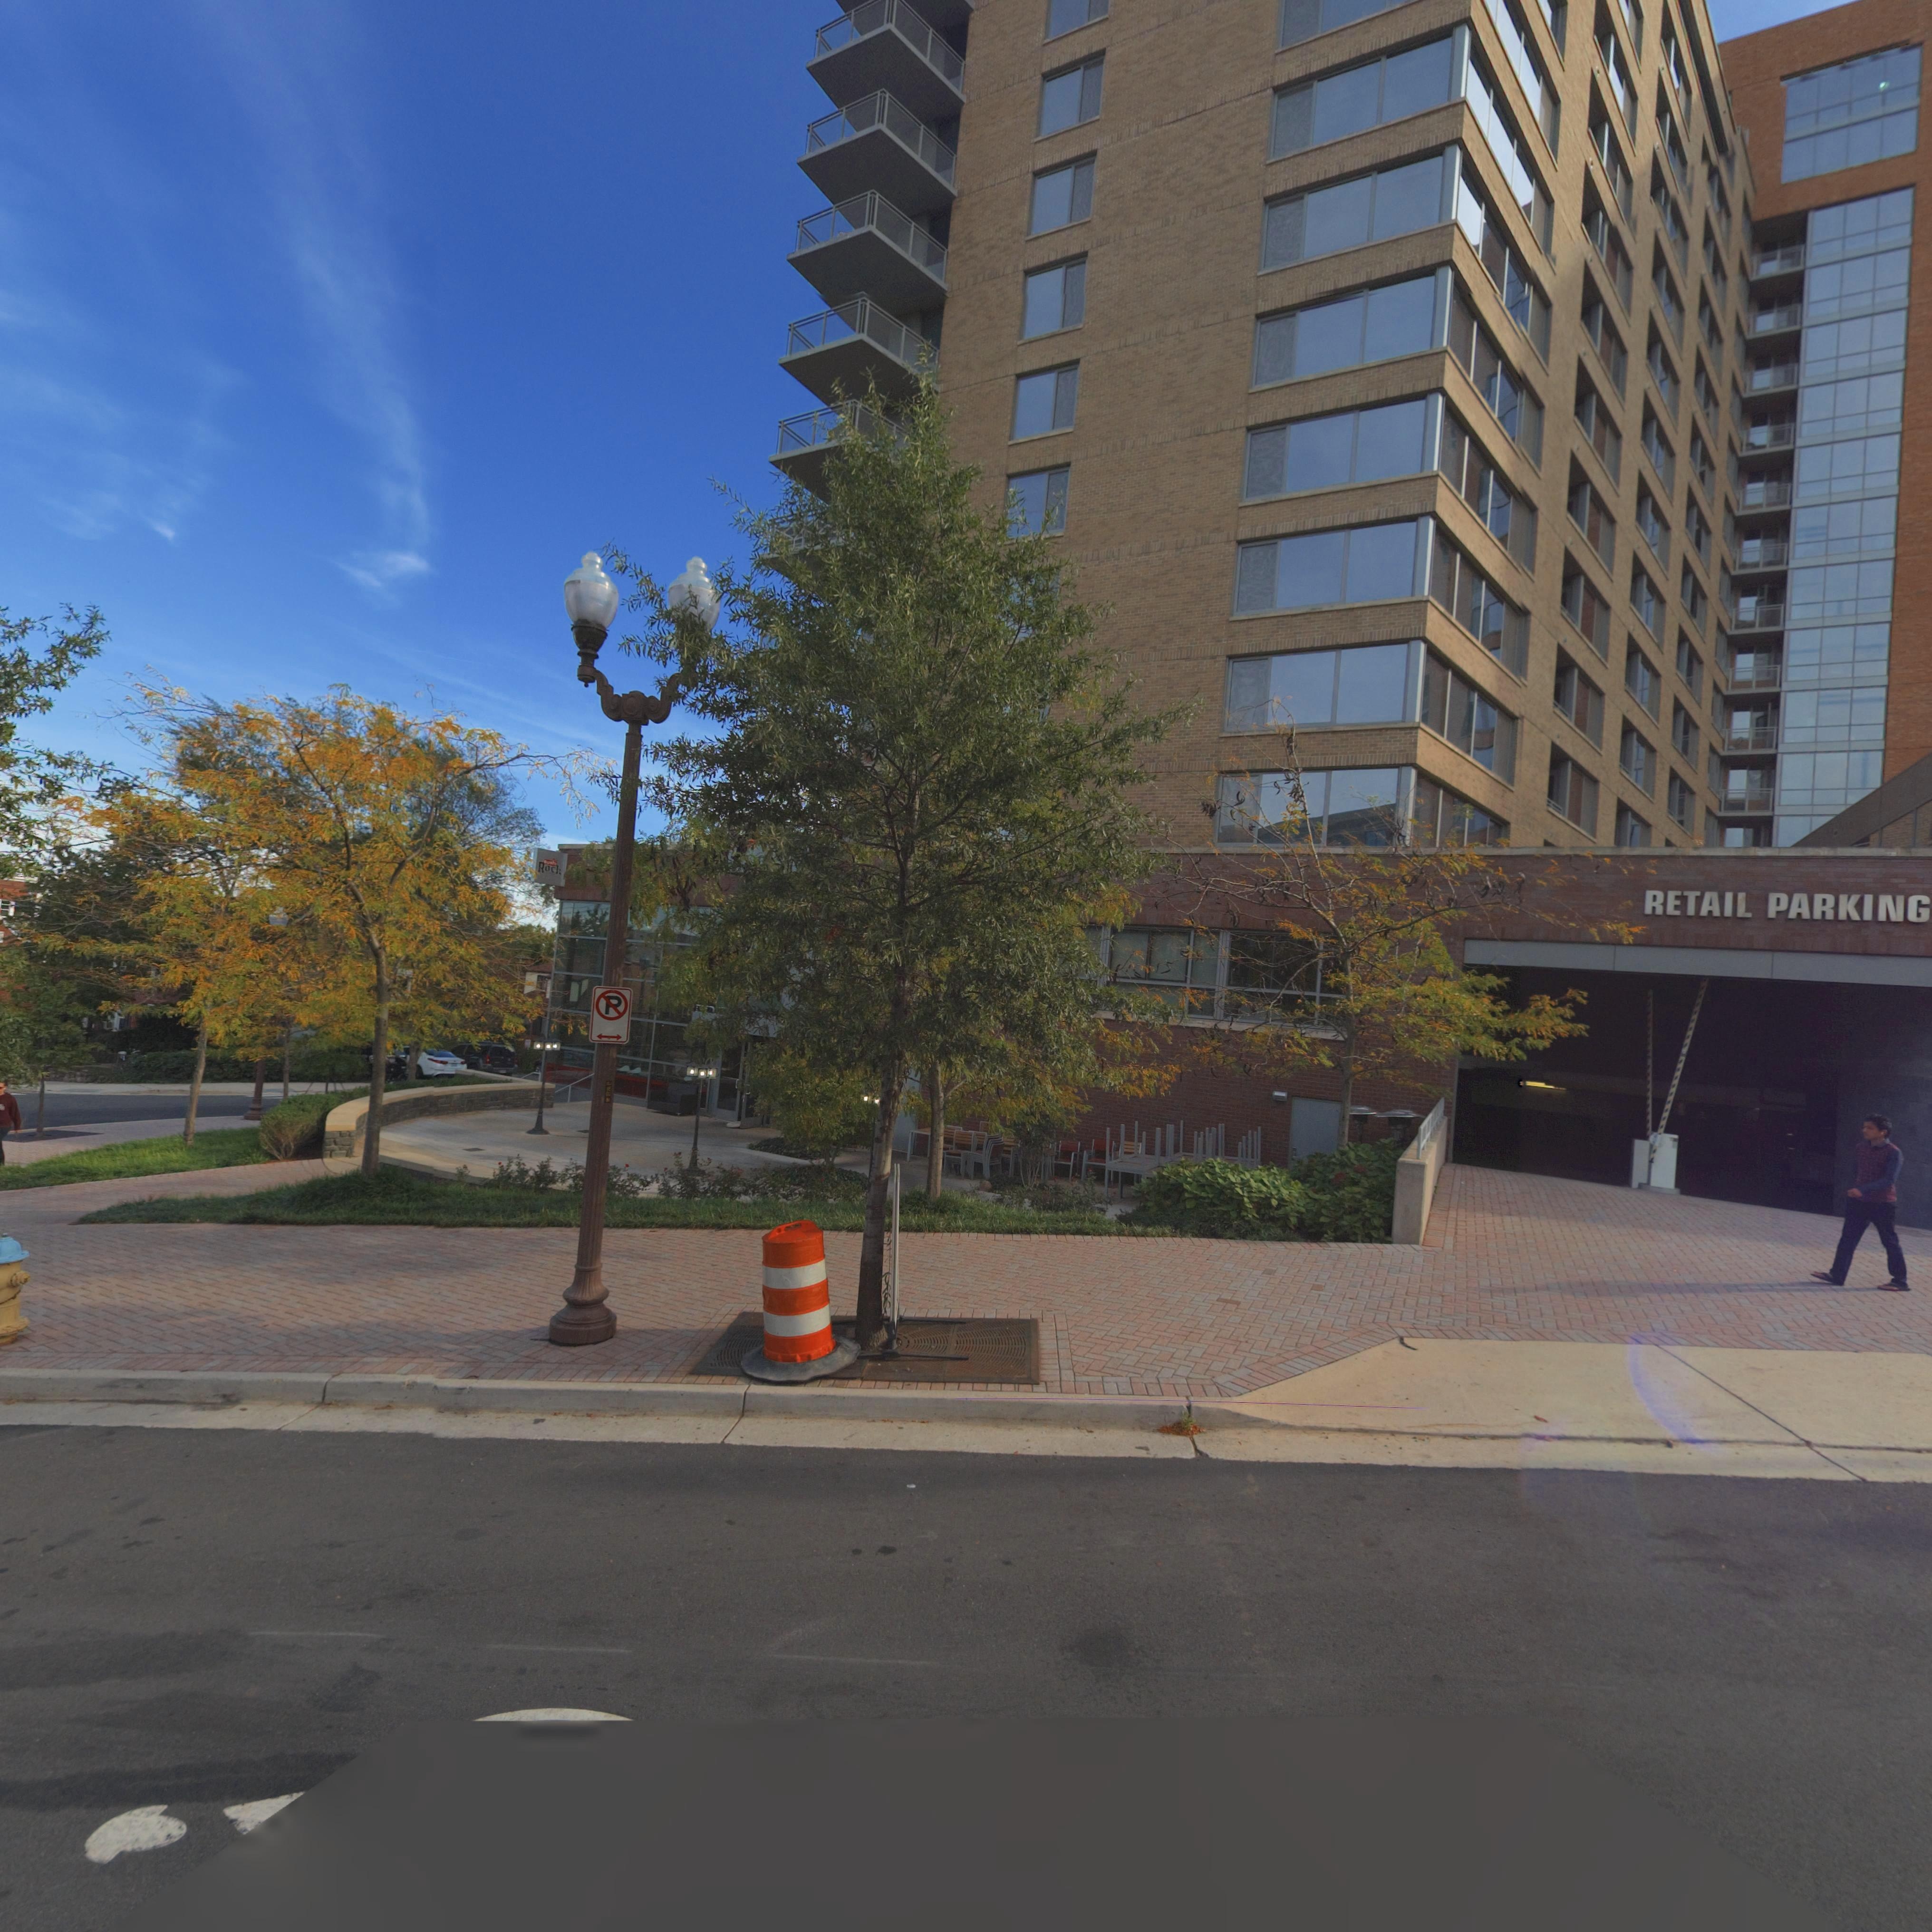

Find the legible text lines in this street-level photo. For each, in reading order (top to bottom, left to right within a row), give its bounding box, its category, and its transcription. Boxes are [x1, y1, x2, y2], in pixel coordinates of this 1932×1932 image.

[1641, 887, 1931, 925] None: RETAIL PARKING